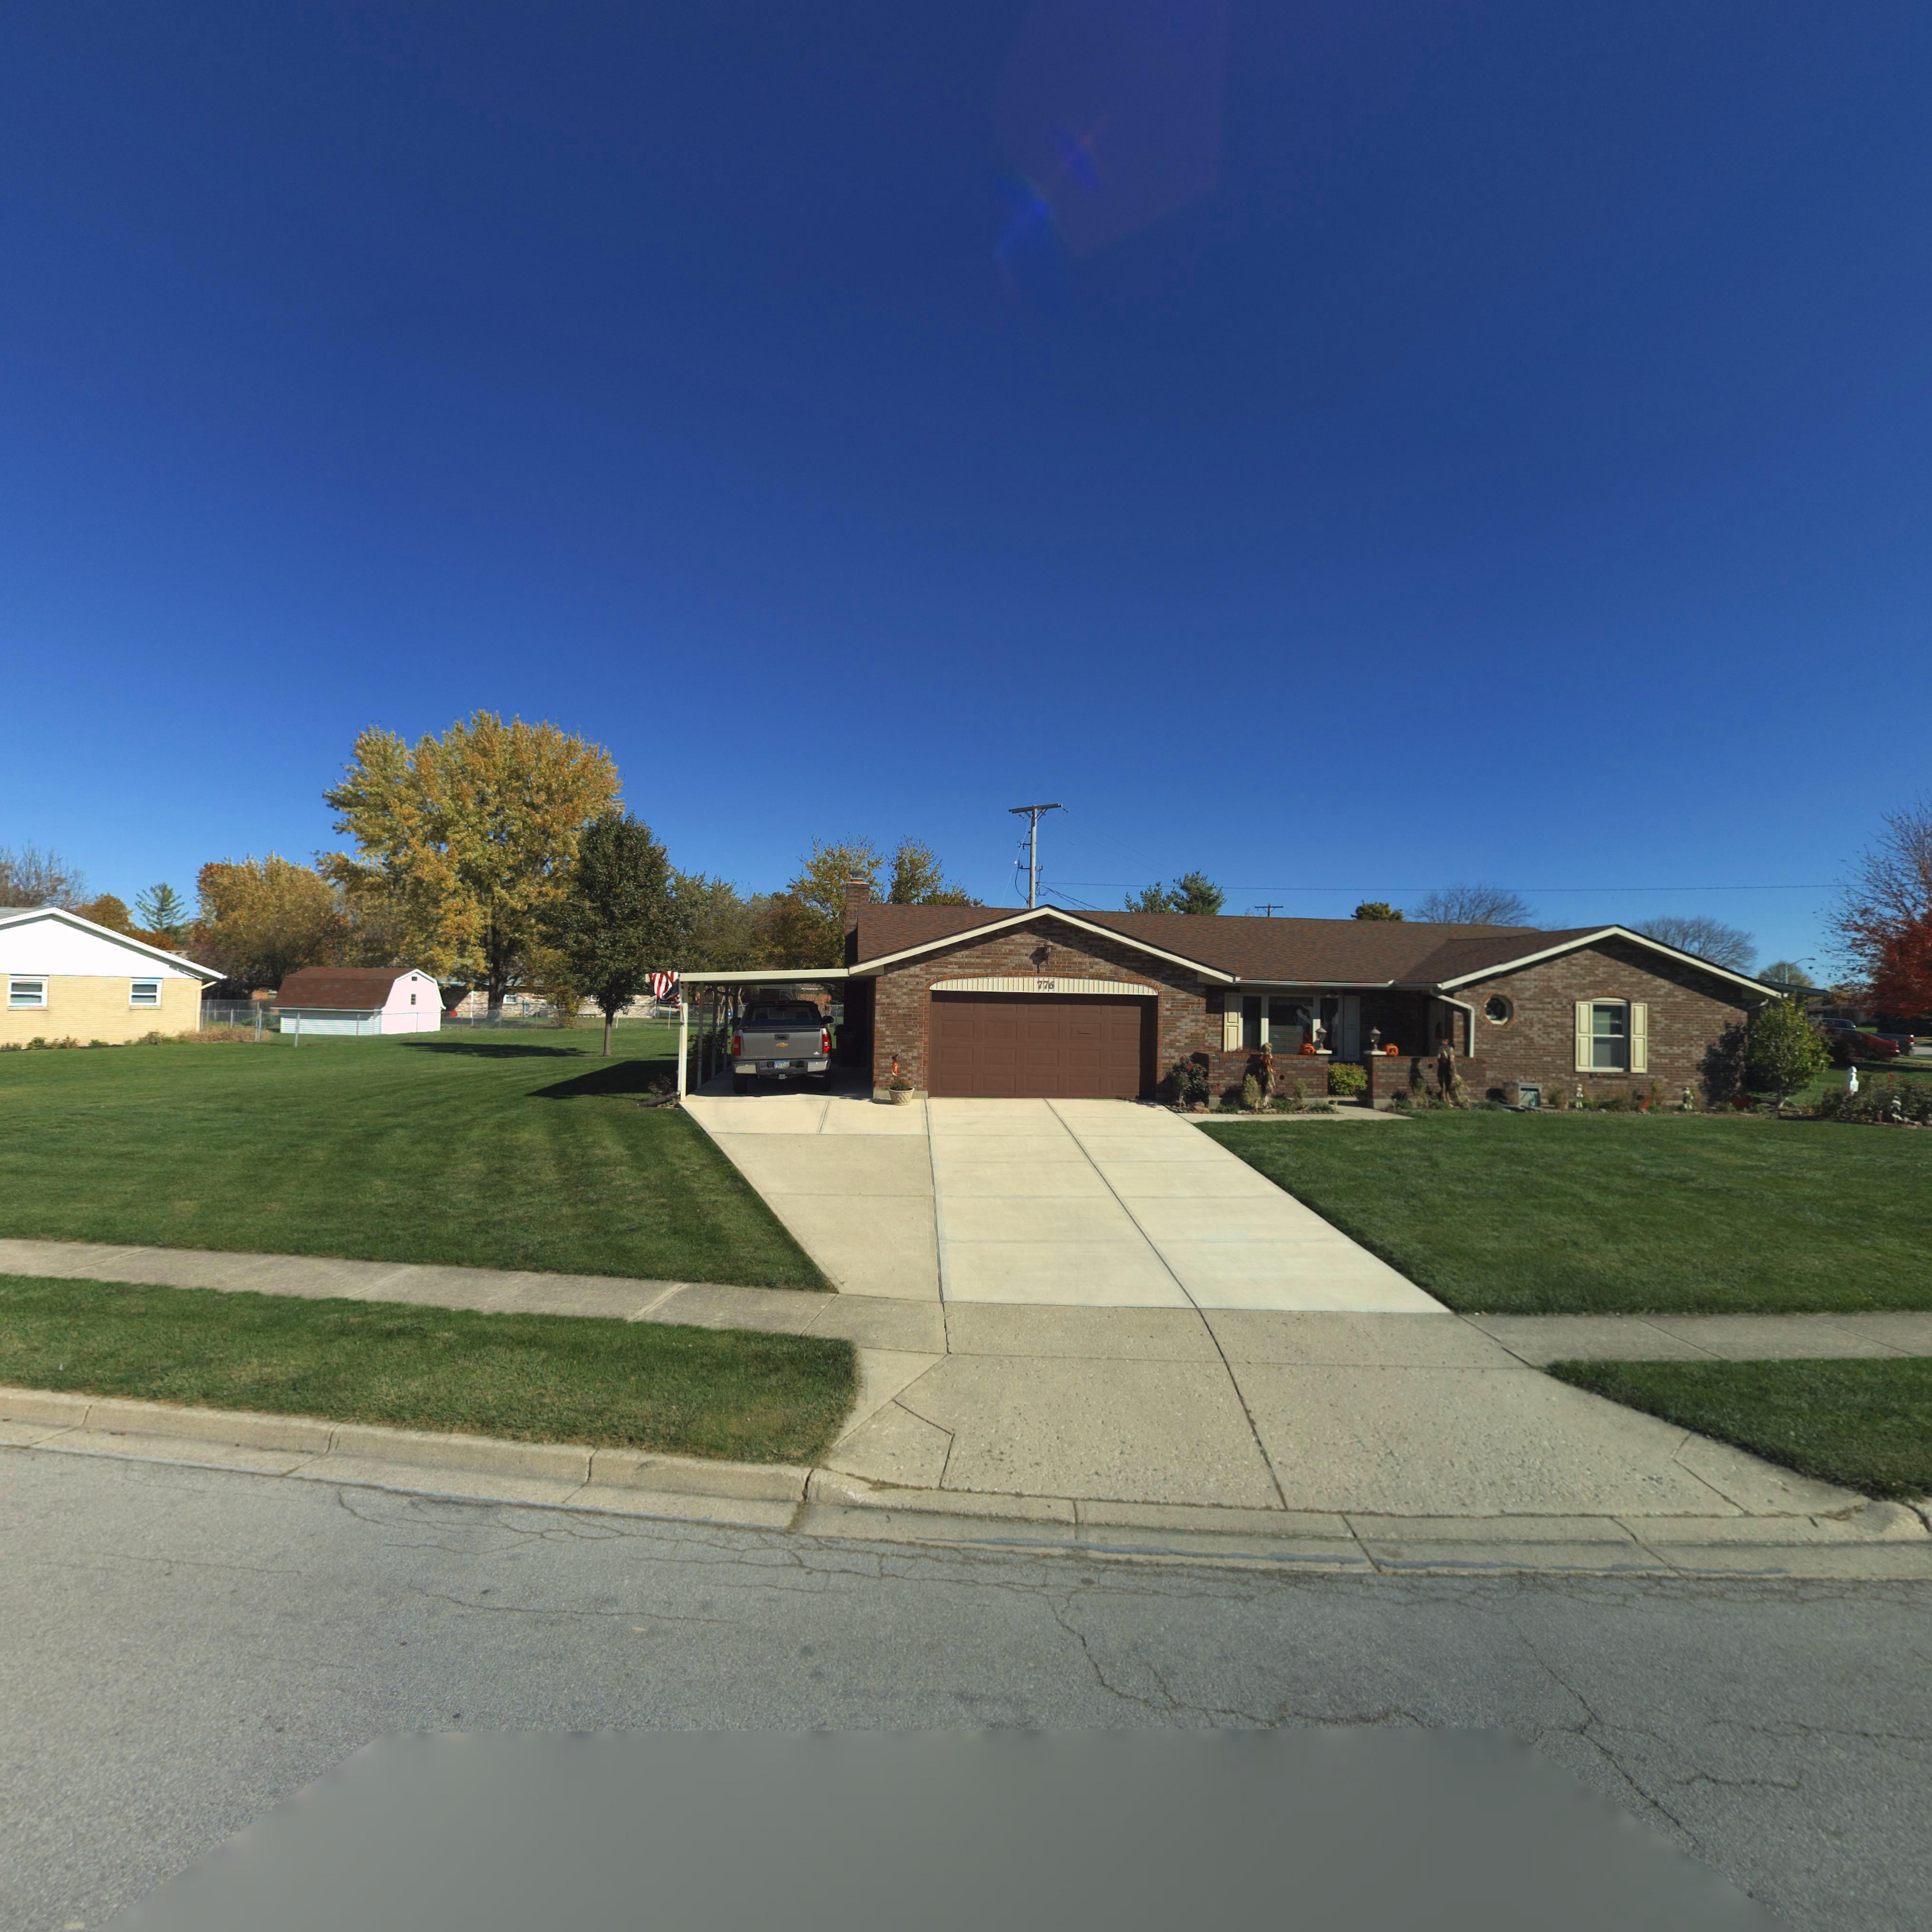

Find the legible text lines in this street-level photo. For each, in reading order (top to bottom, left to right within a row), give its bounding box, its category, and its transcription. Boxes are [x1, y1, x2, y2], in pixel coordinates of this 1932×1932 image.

[1037, 980, 1054, 990] StreetNumber: 776